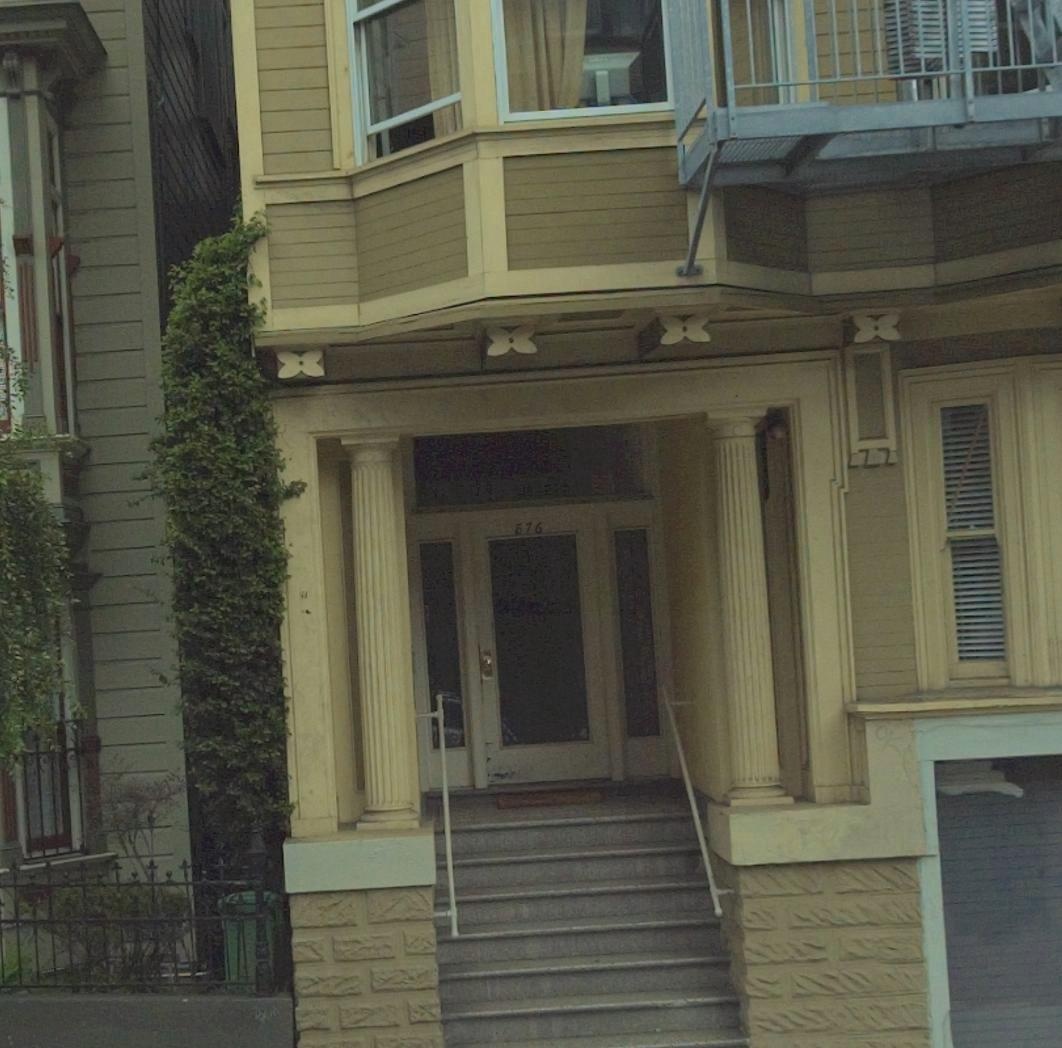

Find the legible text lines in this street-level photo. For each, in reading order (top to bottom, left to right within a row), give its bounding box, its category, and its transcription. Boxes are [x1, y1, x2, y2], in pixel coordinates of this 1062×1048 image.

[510, 518, 545, 539] StreetNumber: 876